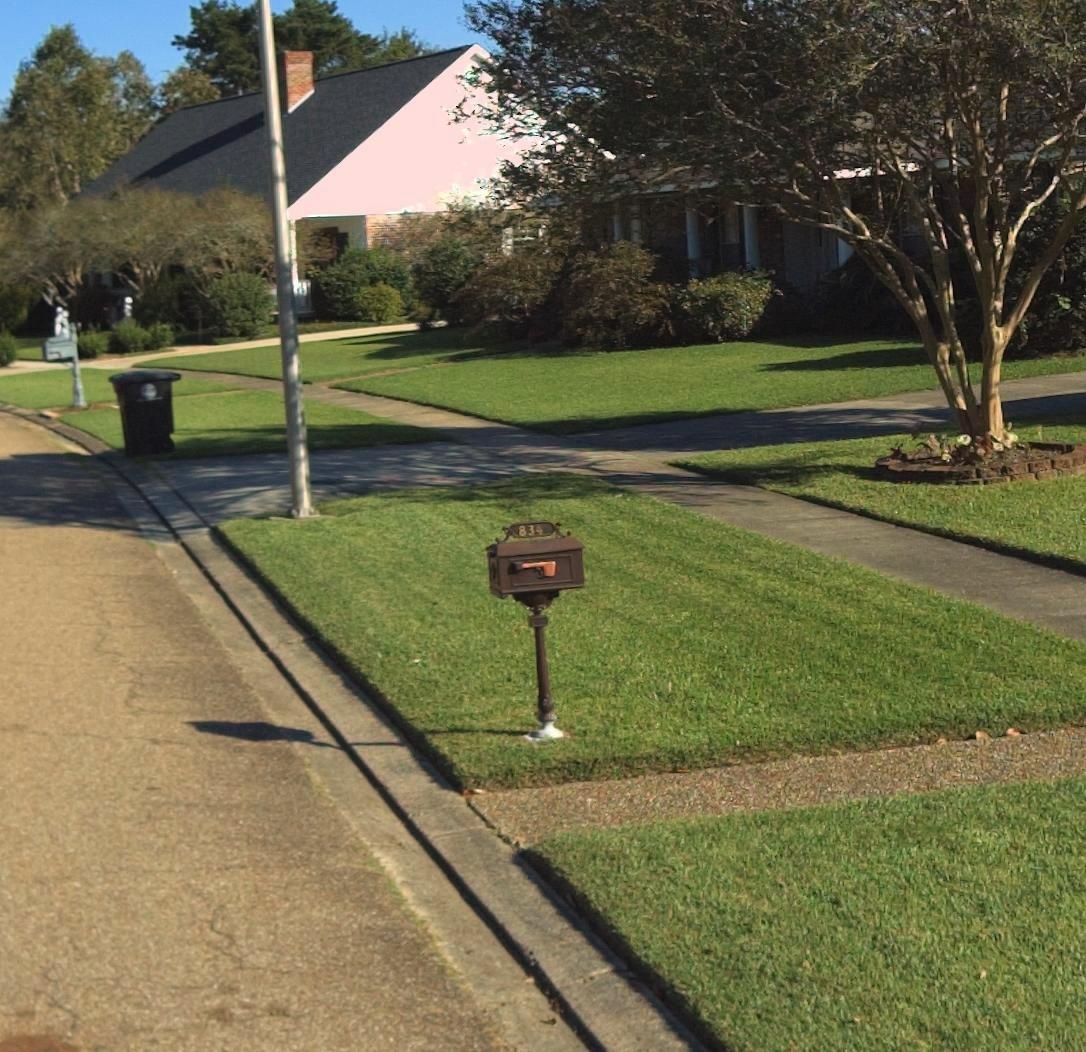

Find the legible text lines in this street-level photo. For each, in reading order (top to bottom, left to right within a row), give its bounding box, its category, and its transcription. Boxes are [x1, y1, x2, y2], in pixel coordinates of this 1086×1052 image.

[516, 522, 546, 539] StreetNumber: 834